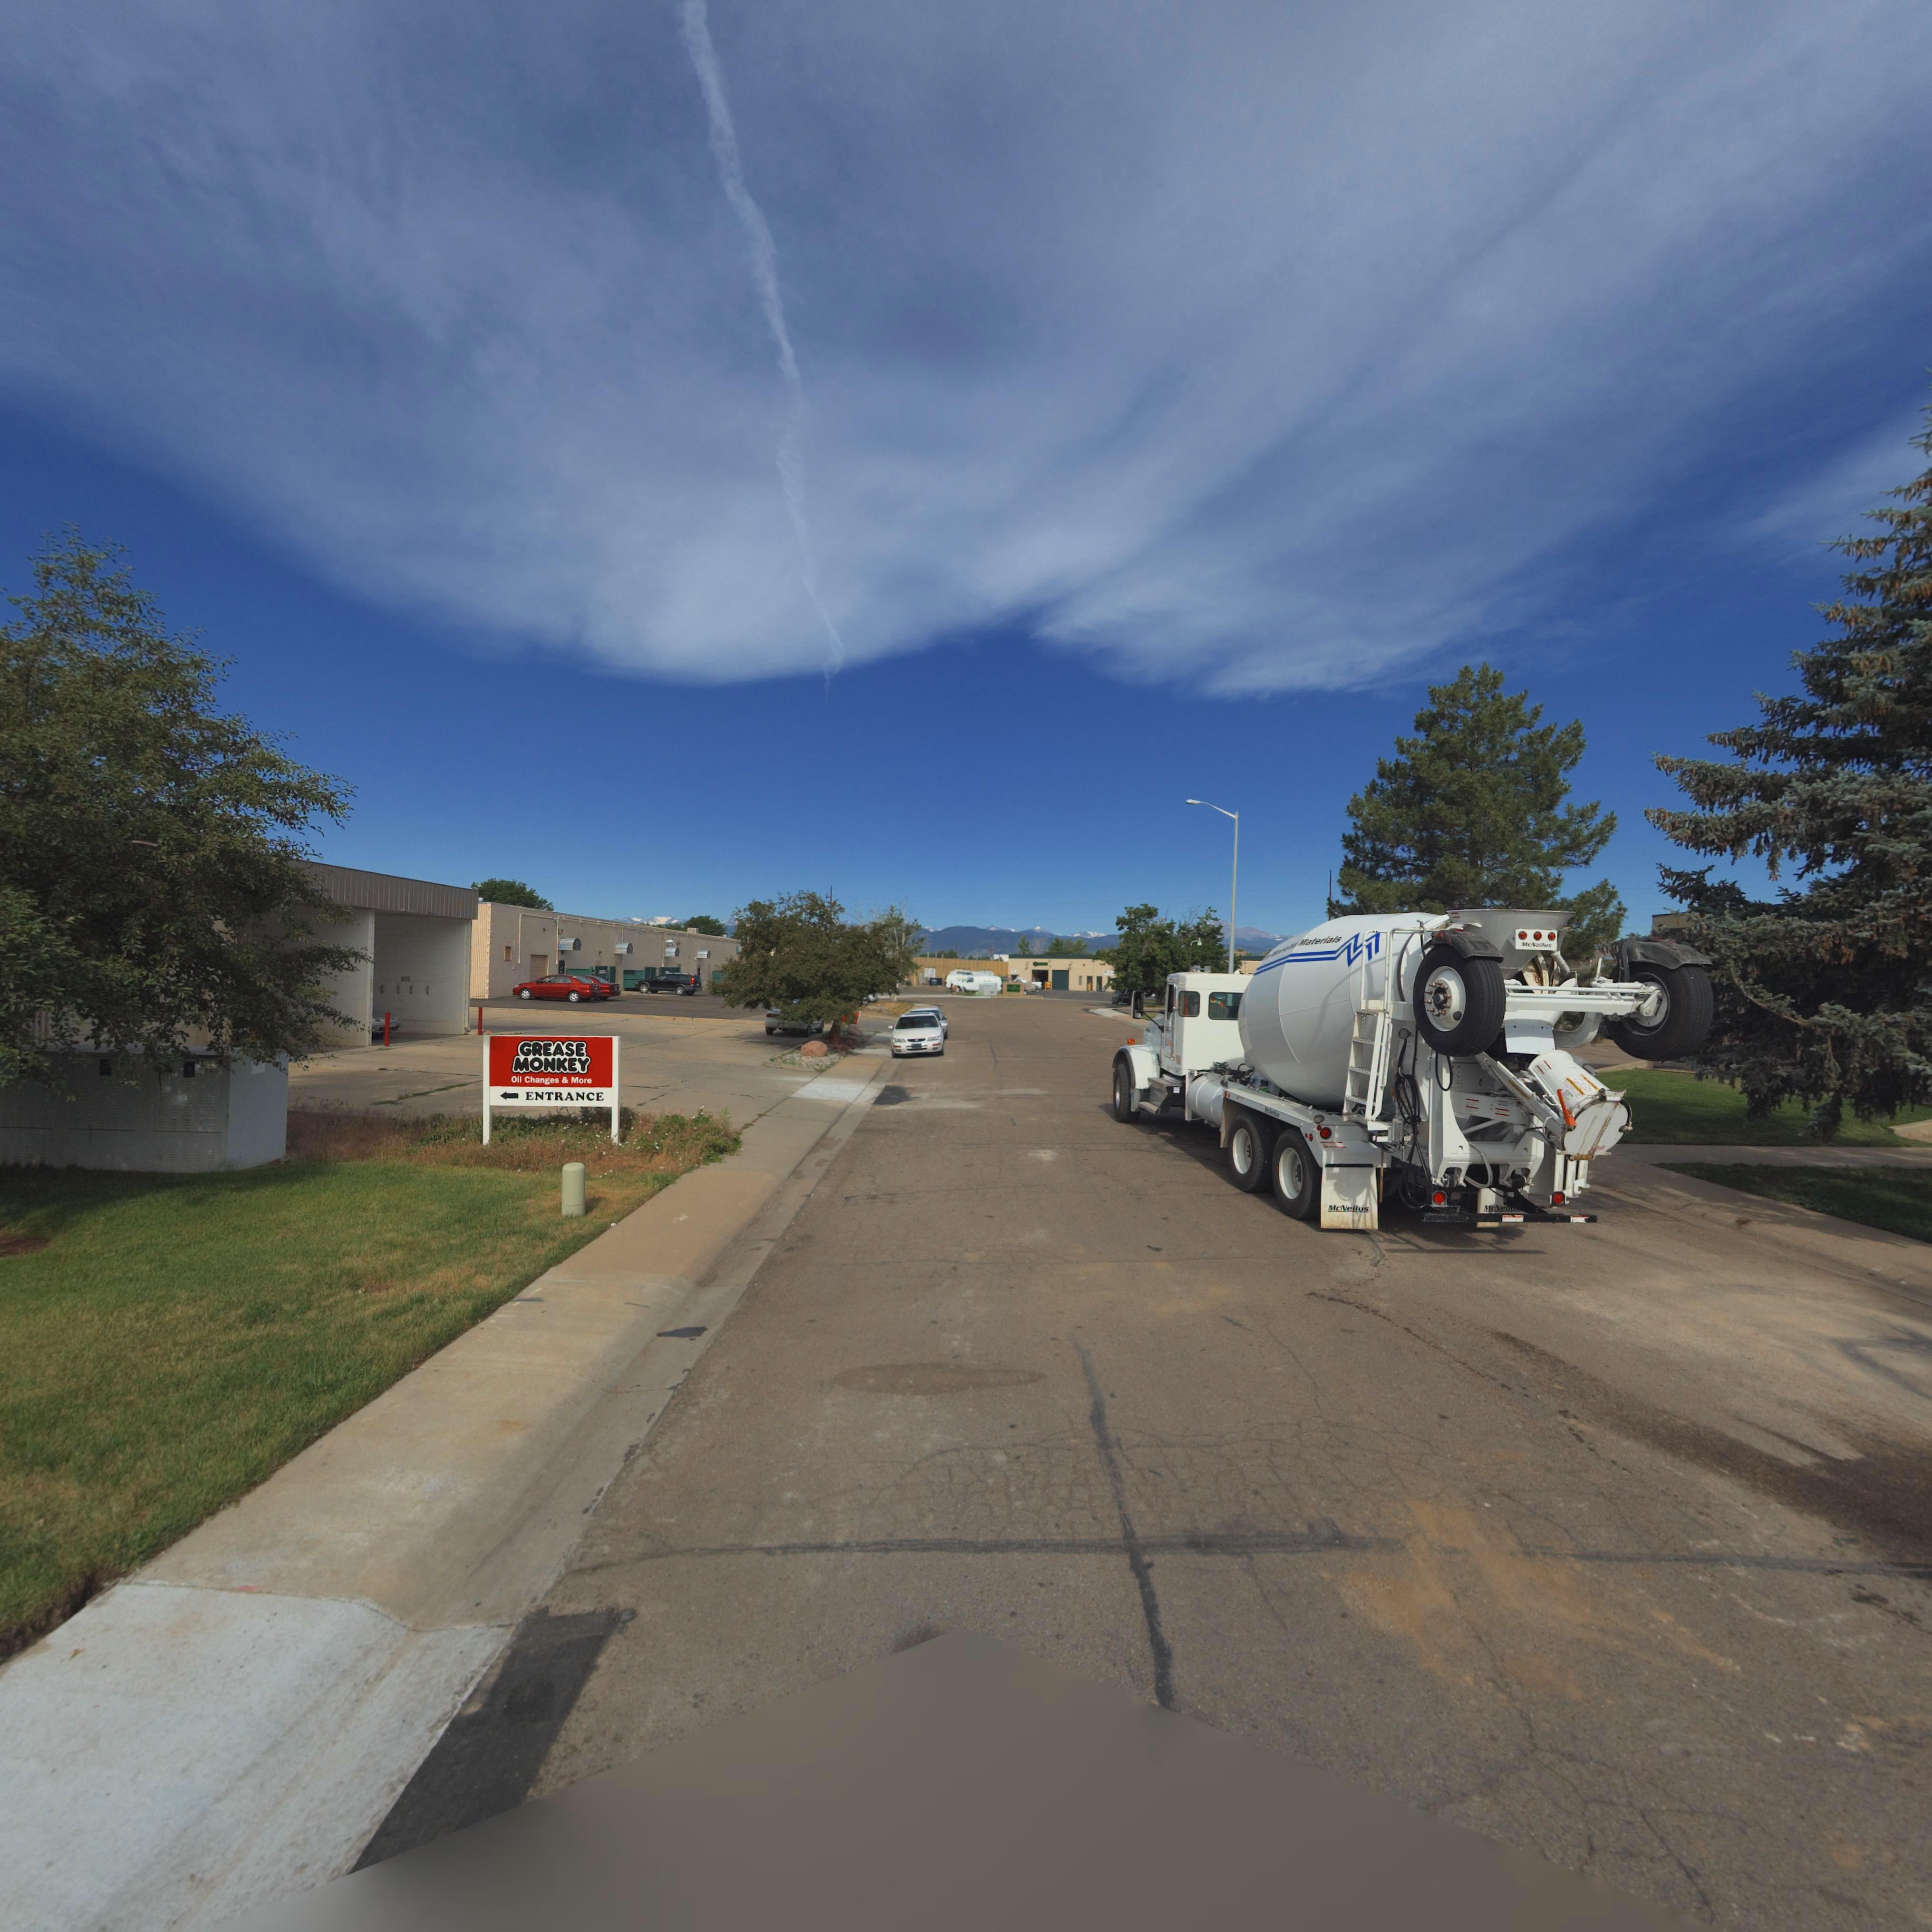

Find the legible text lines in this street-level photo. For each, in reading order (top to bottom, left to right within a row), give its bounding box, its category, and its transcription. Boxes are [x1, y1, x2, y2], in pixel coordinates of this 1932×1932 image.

[519, 1041, 585, 1057] BusinessName: GREASE
[513, 1057, 589, 1072] BusinessName: MONKEY